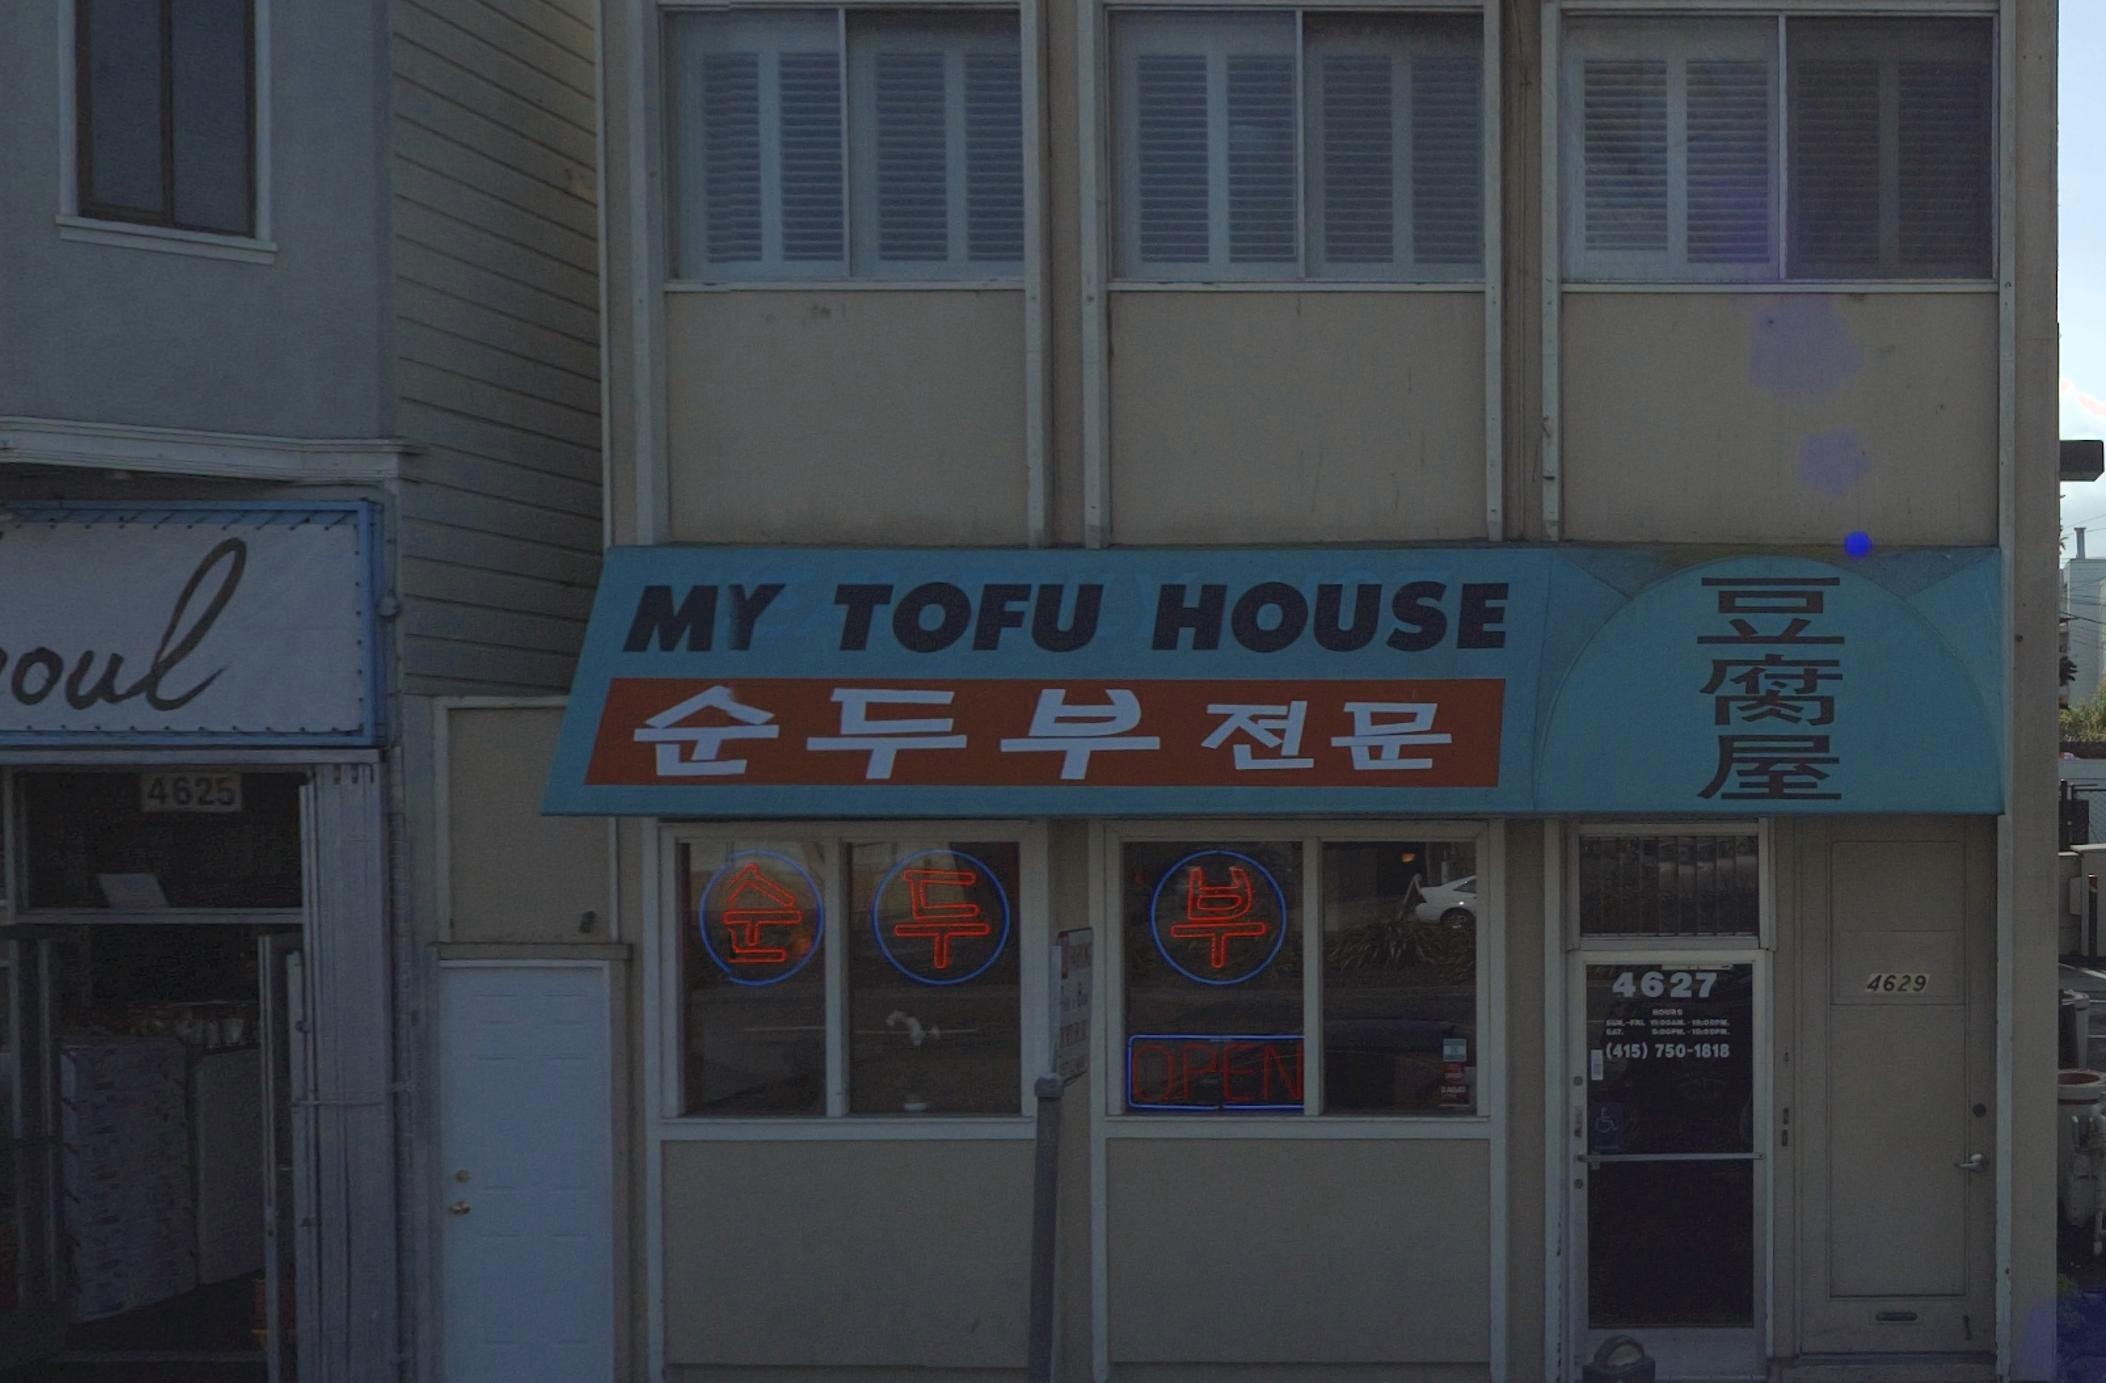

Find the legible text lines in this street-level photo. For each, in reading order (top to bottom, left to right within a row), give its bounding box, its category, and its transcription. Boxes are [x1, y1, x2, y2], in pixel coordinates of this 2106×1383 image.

[0, 530, 252, 720] BusinessName: oul
[620, 580, 1511, 655] BusinessName: MY TOFU HOUSE
[140, 770, 239, 810] StreetNumber: 4625
[1609, 970, 1721, 1000] StreetNumber: 4627
[1863, 973, 1929, 994] StreetNumber: 4629
[1602, 1040, 1732, 1063] None: (415) 750-1818
[1128, 1038, 1307, 1109] None: OPEN